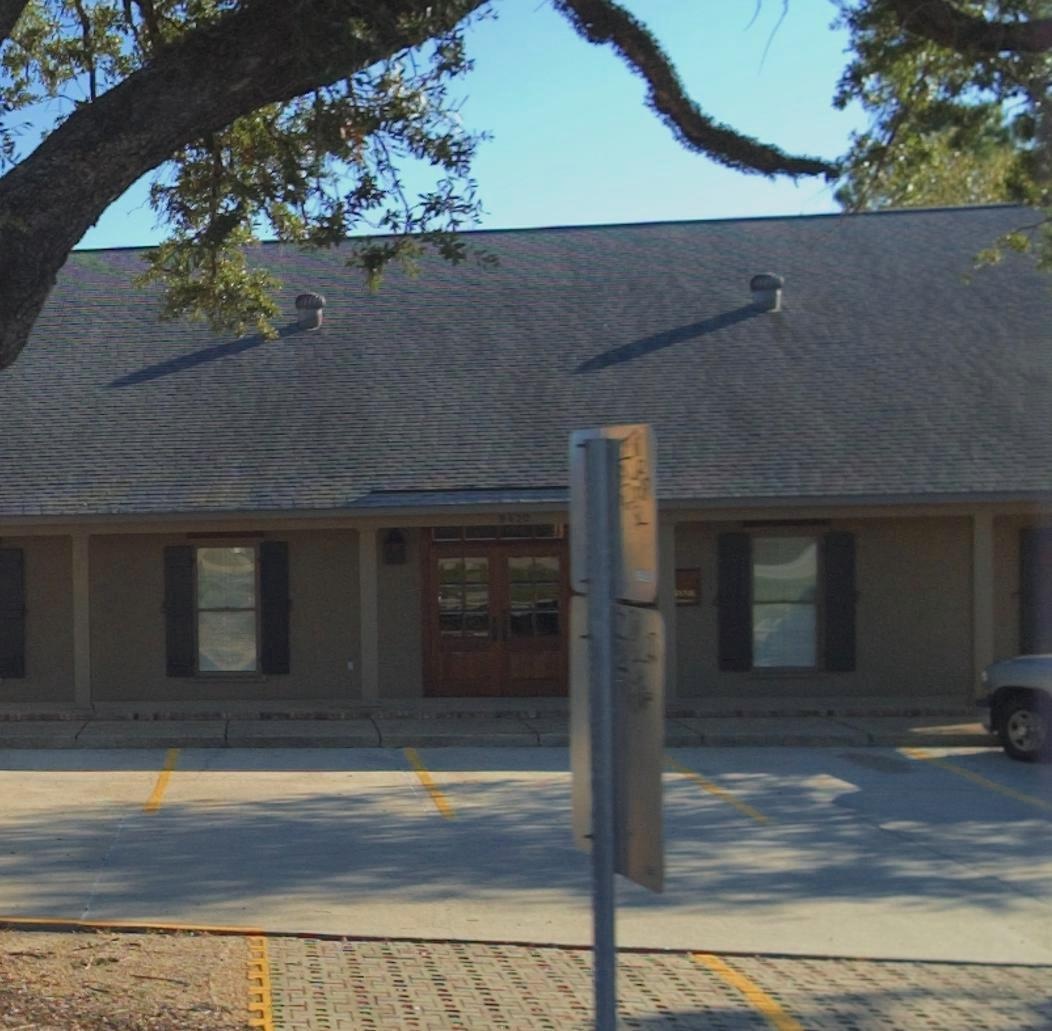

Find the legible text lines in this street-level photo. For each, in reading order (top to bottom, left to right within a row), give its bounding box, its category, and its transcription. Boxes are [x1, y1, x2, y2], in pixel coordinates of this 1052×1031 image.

[497, 511, 532, 525] StreetNumber: 9420